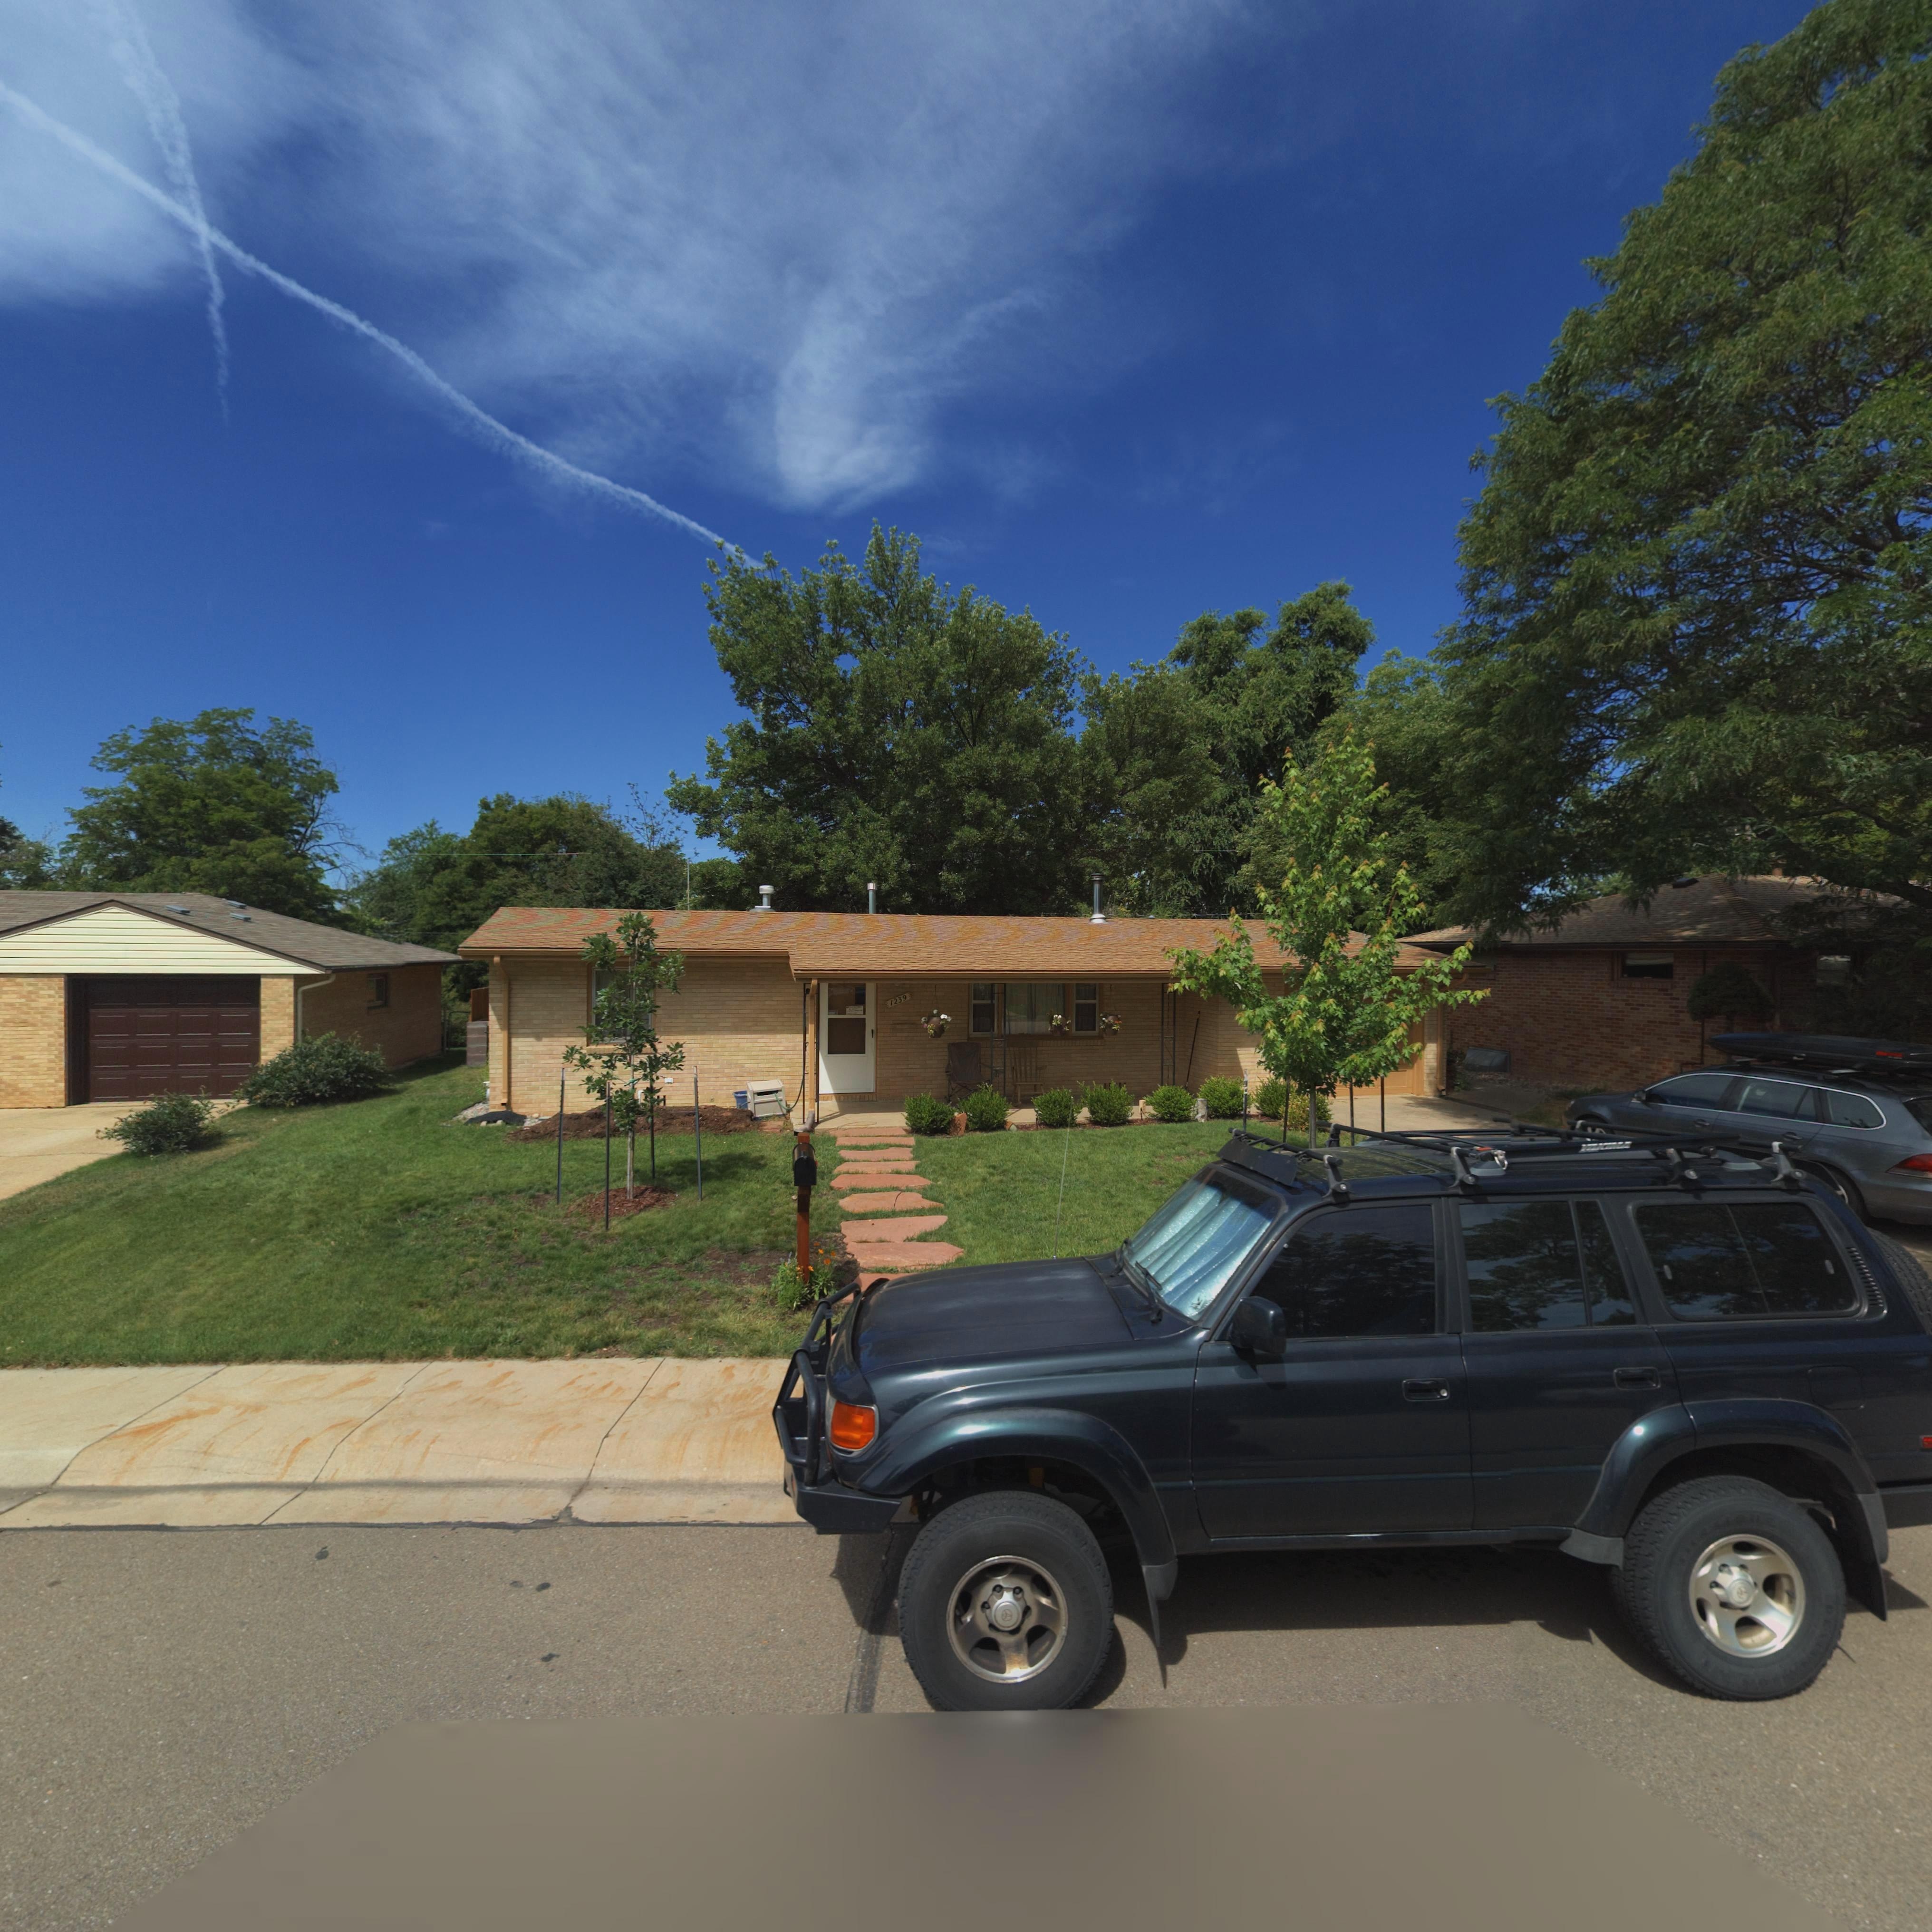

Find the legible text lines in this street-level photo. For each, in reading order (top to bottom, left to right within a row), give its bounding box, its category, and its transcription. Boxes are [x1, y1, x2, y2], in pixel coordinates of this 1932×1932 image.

[890, 995, 906, 1006] StreetNumber: 1239